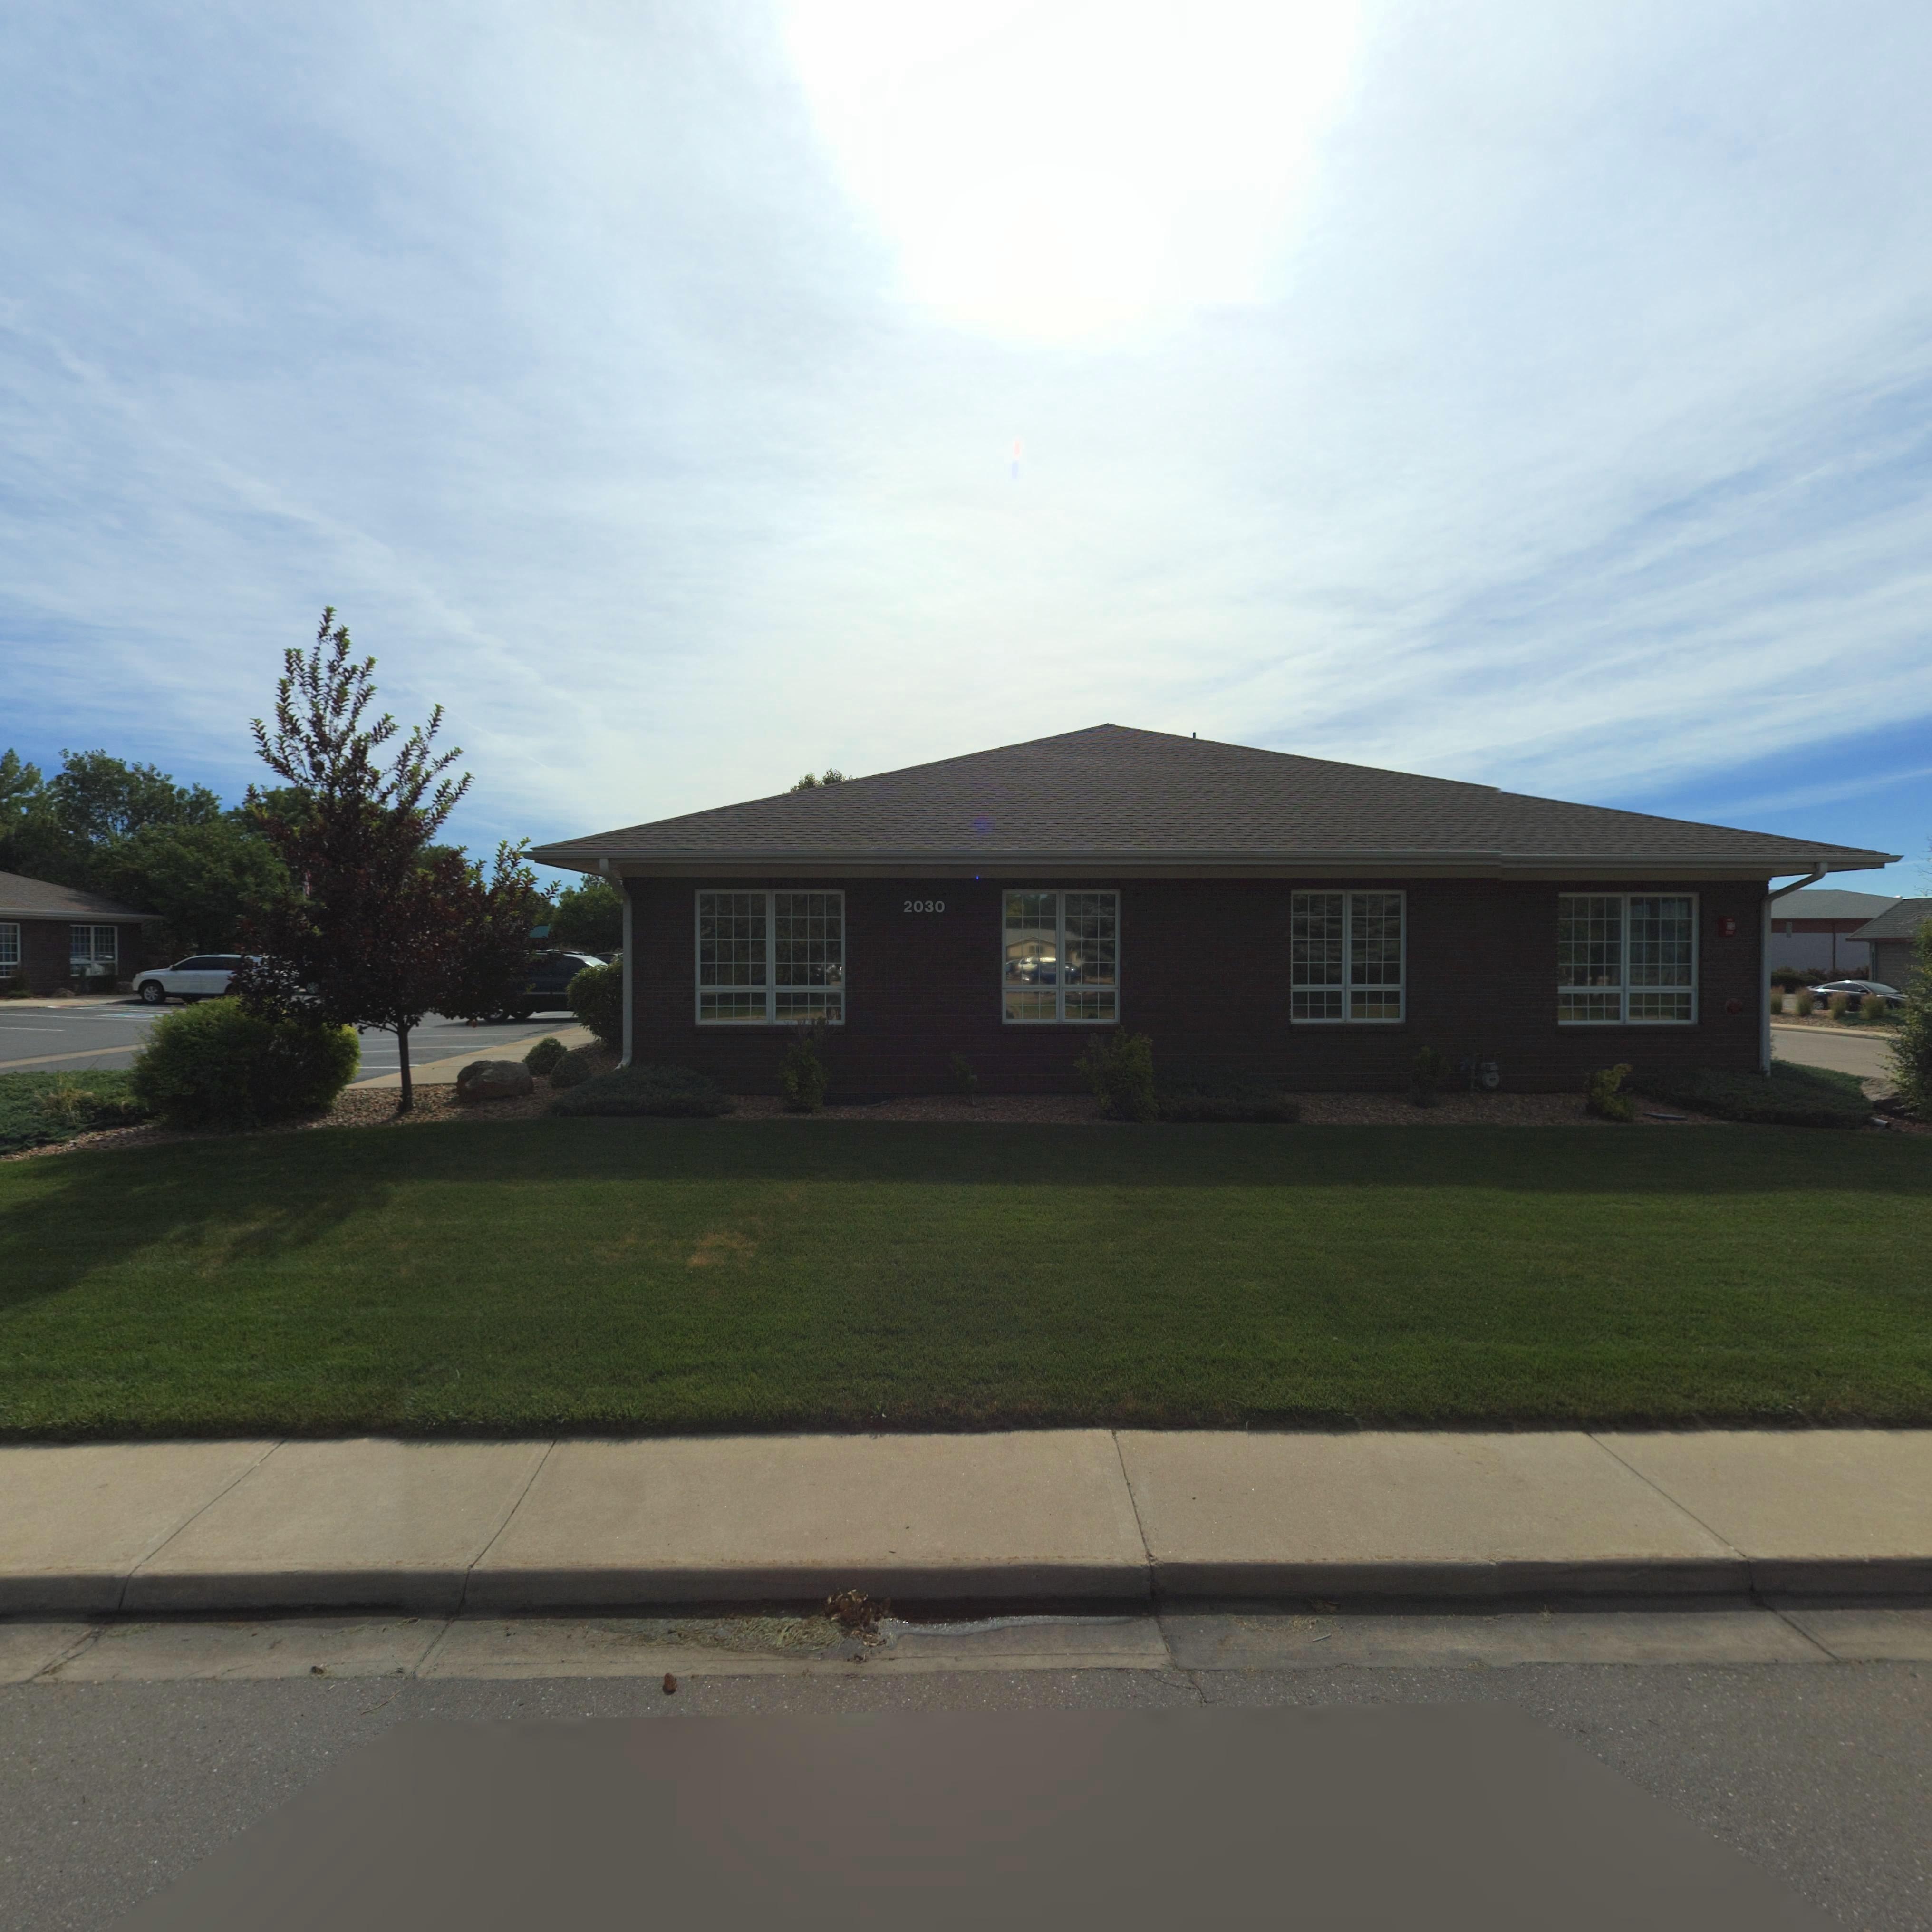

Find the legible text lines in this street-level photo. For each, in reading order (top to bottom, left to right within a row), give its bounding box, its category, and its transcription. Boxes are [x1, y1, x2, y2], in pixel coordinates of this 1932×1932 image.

[902, 900, 945, 913] StreetNumber: 2030